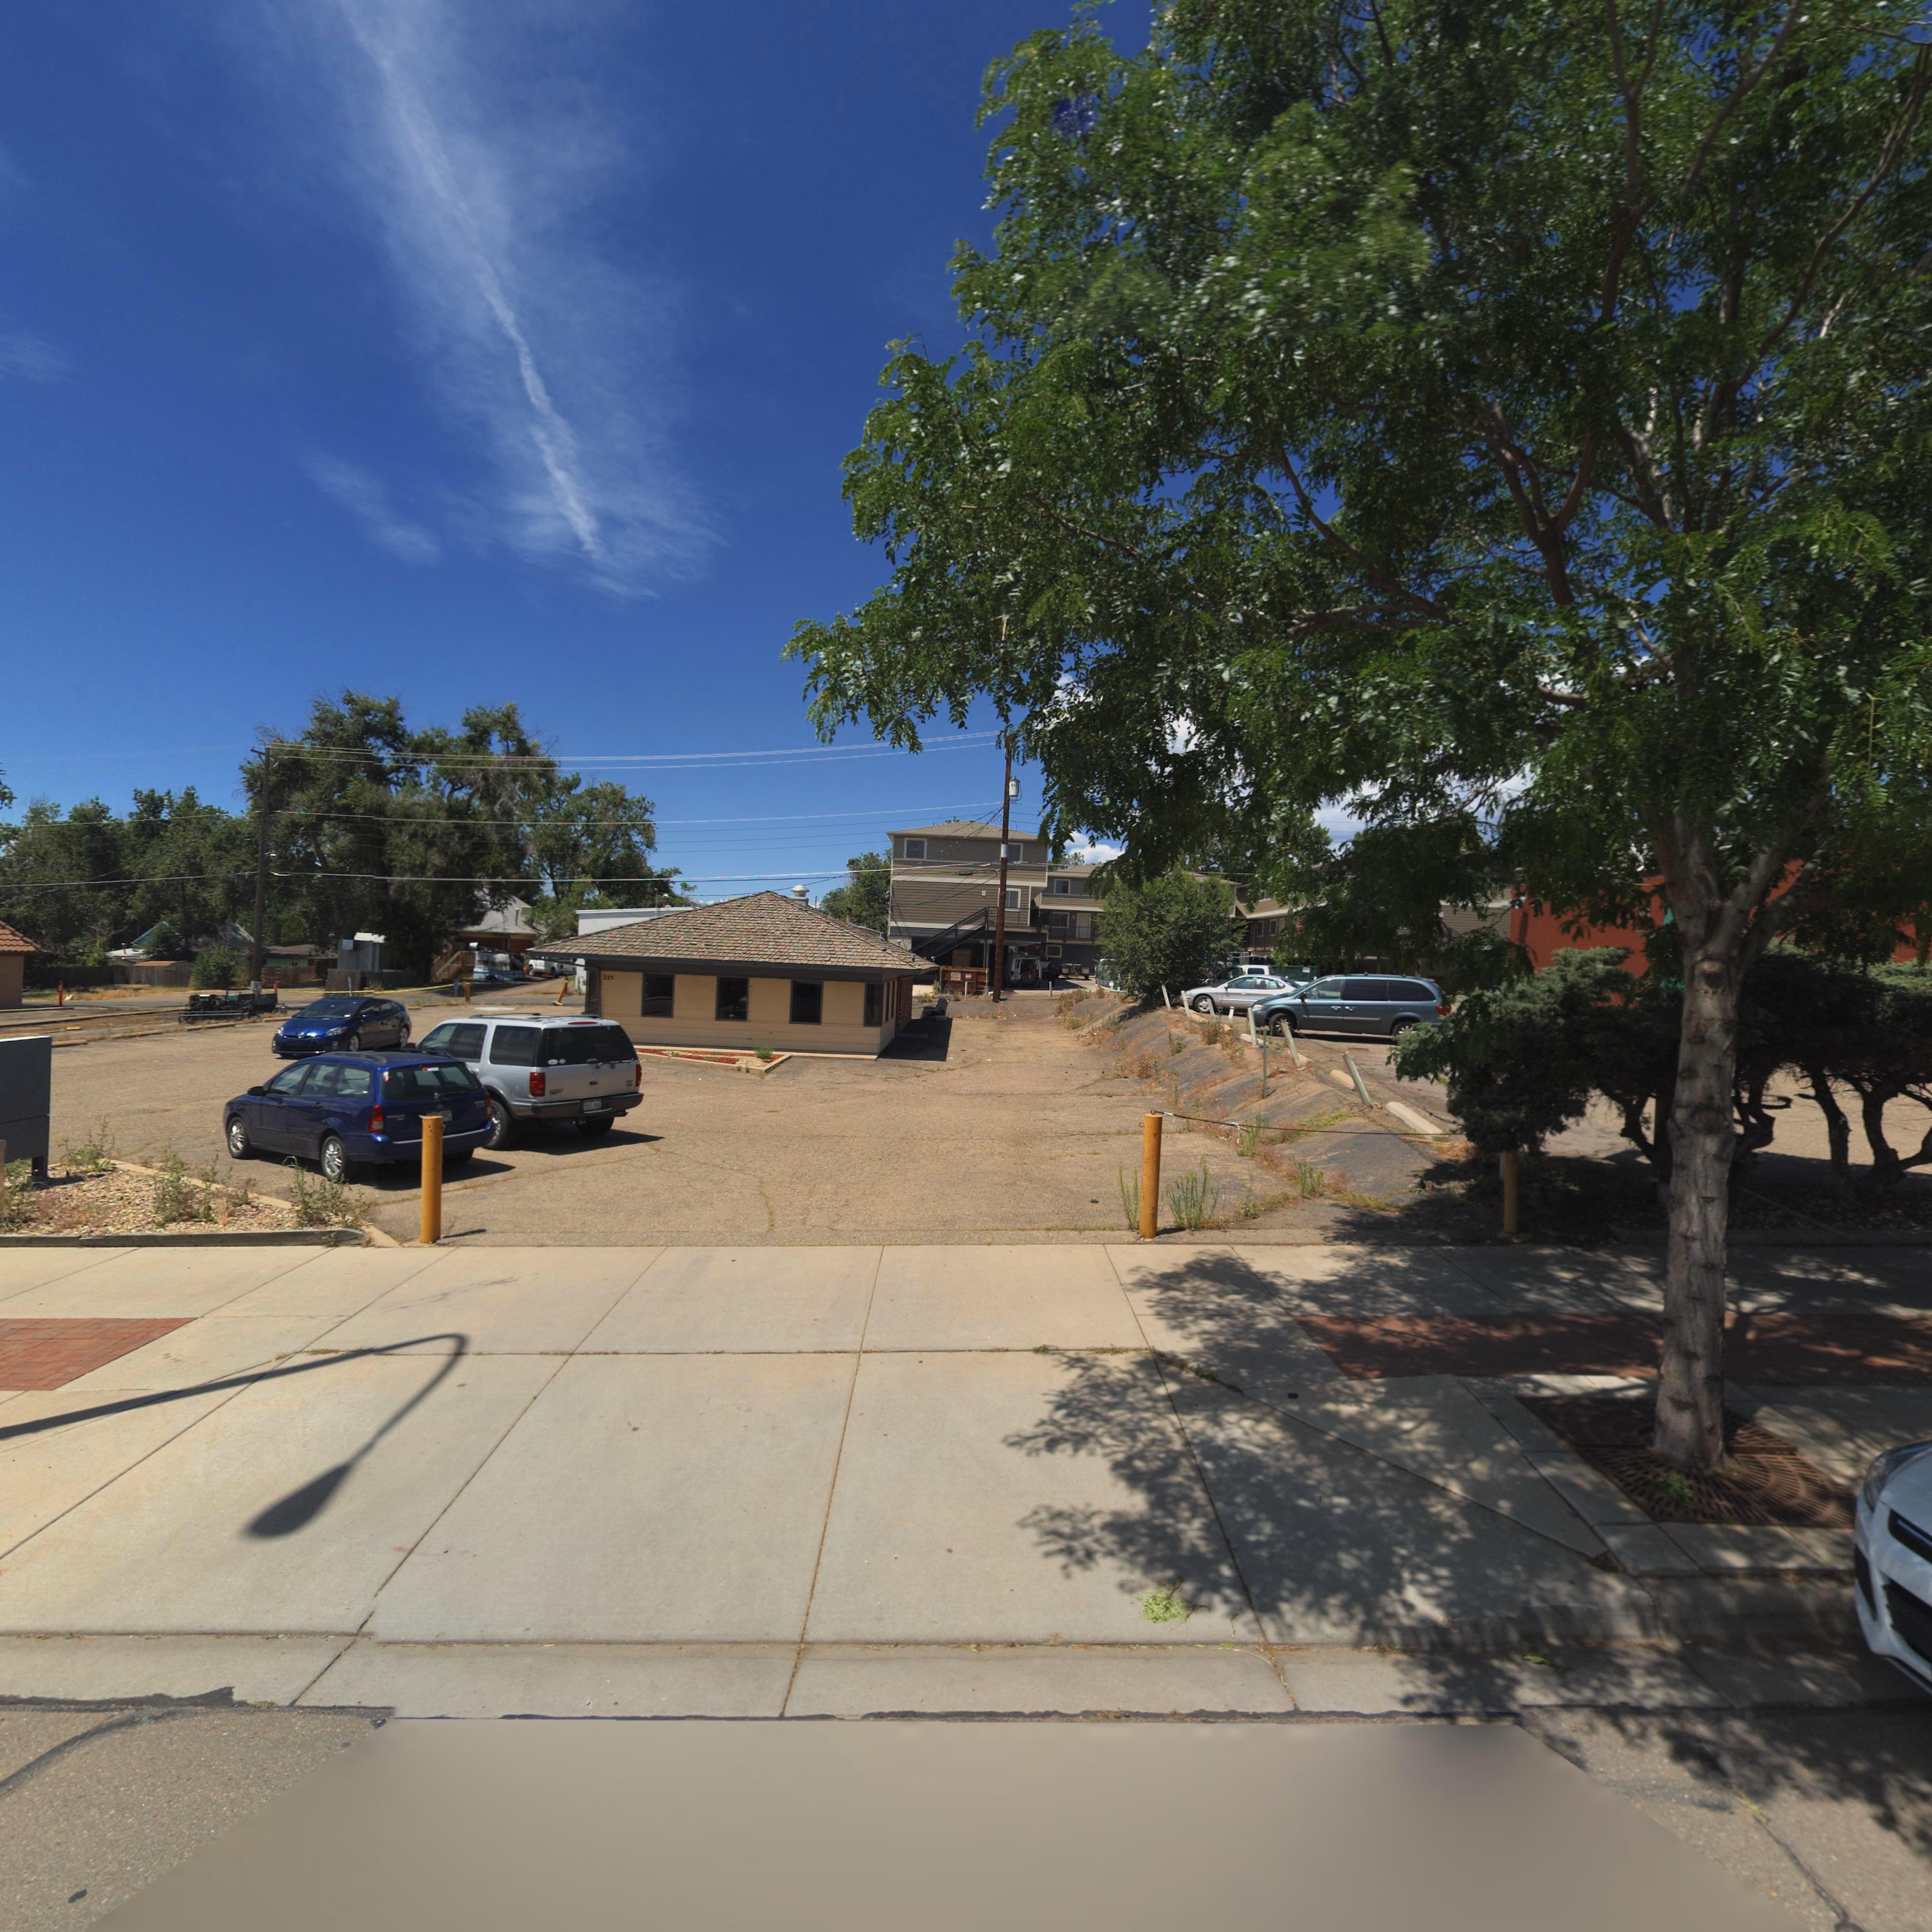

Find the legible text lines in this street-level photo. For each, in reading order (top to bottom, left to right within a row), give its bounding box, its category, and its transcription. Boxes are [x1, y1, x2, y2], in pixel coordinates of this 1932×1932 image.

[602, 975, 614, 980] StreetNumber: 225